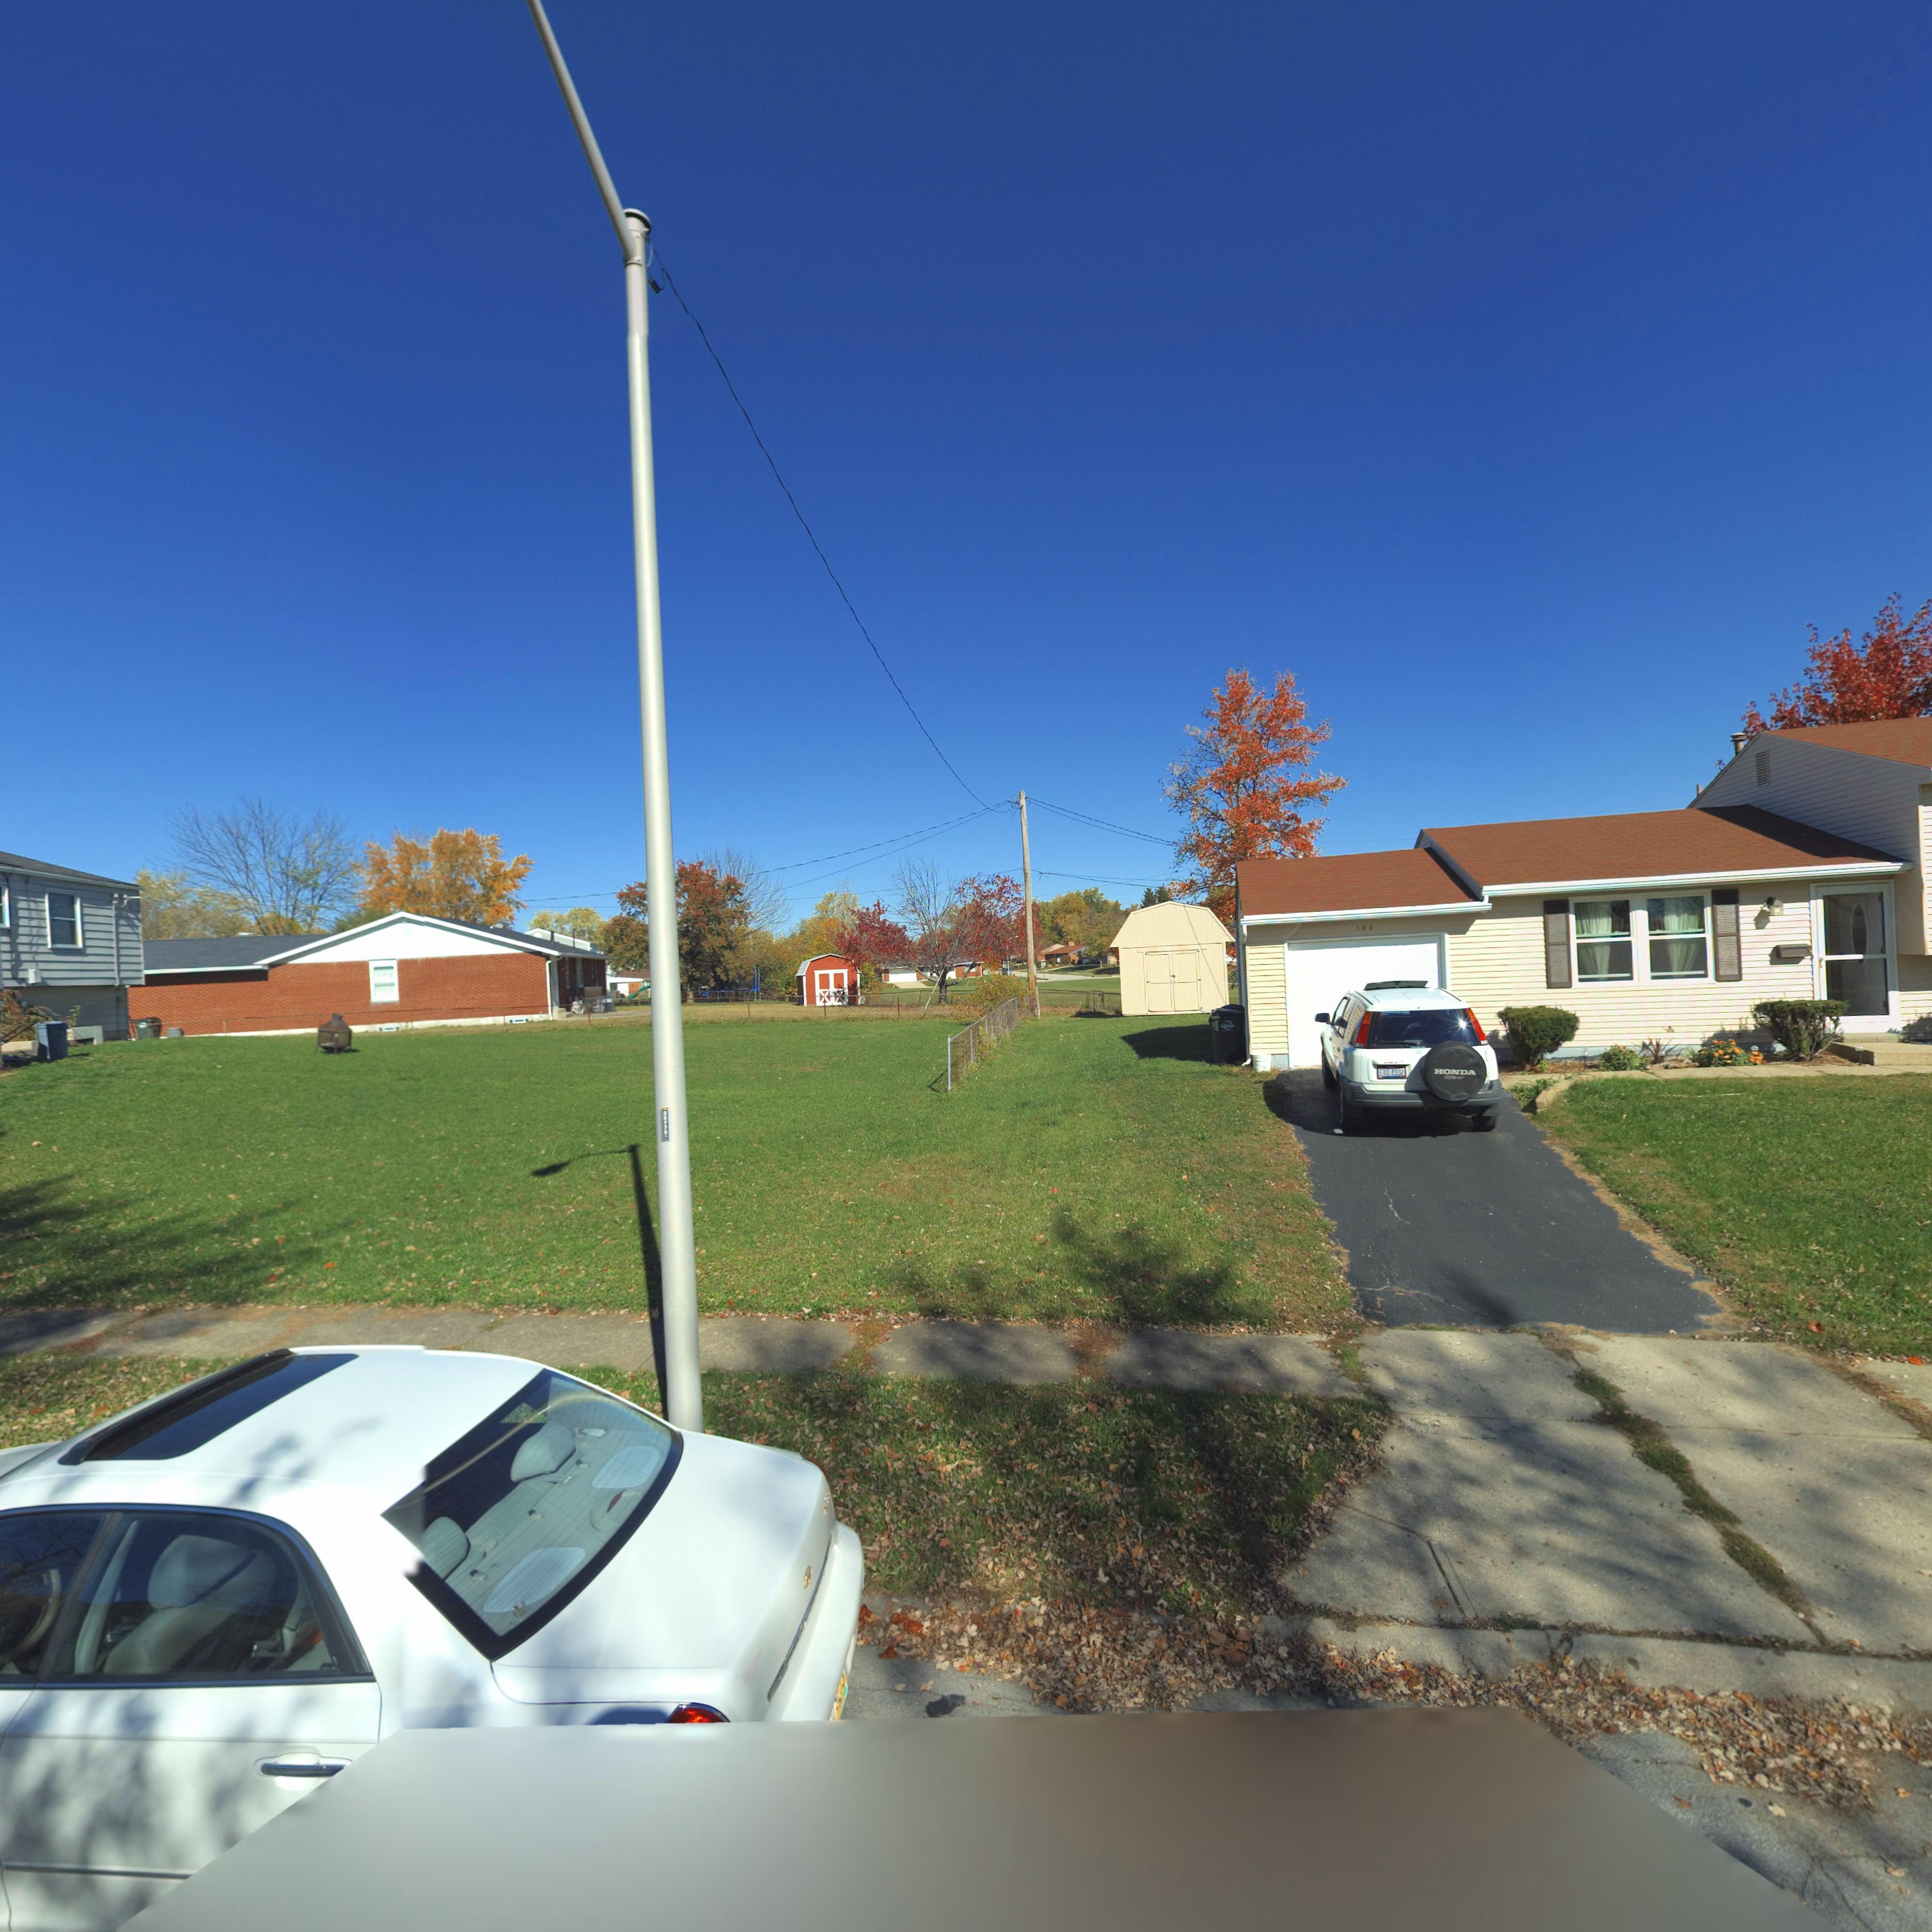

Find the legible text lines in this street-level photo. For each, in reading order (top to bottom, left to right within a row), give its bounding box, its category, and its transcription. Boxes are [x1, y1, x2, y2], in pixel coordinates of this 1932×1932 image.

[1355, 923, 1374, 932] StreetNumber: 102